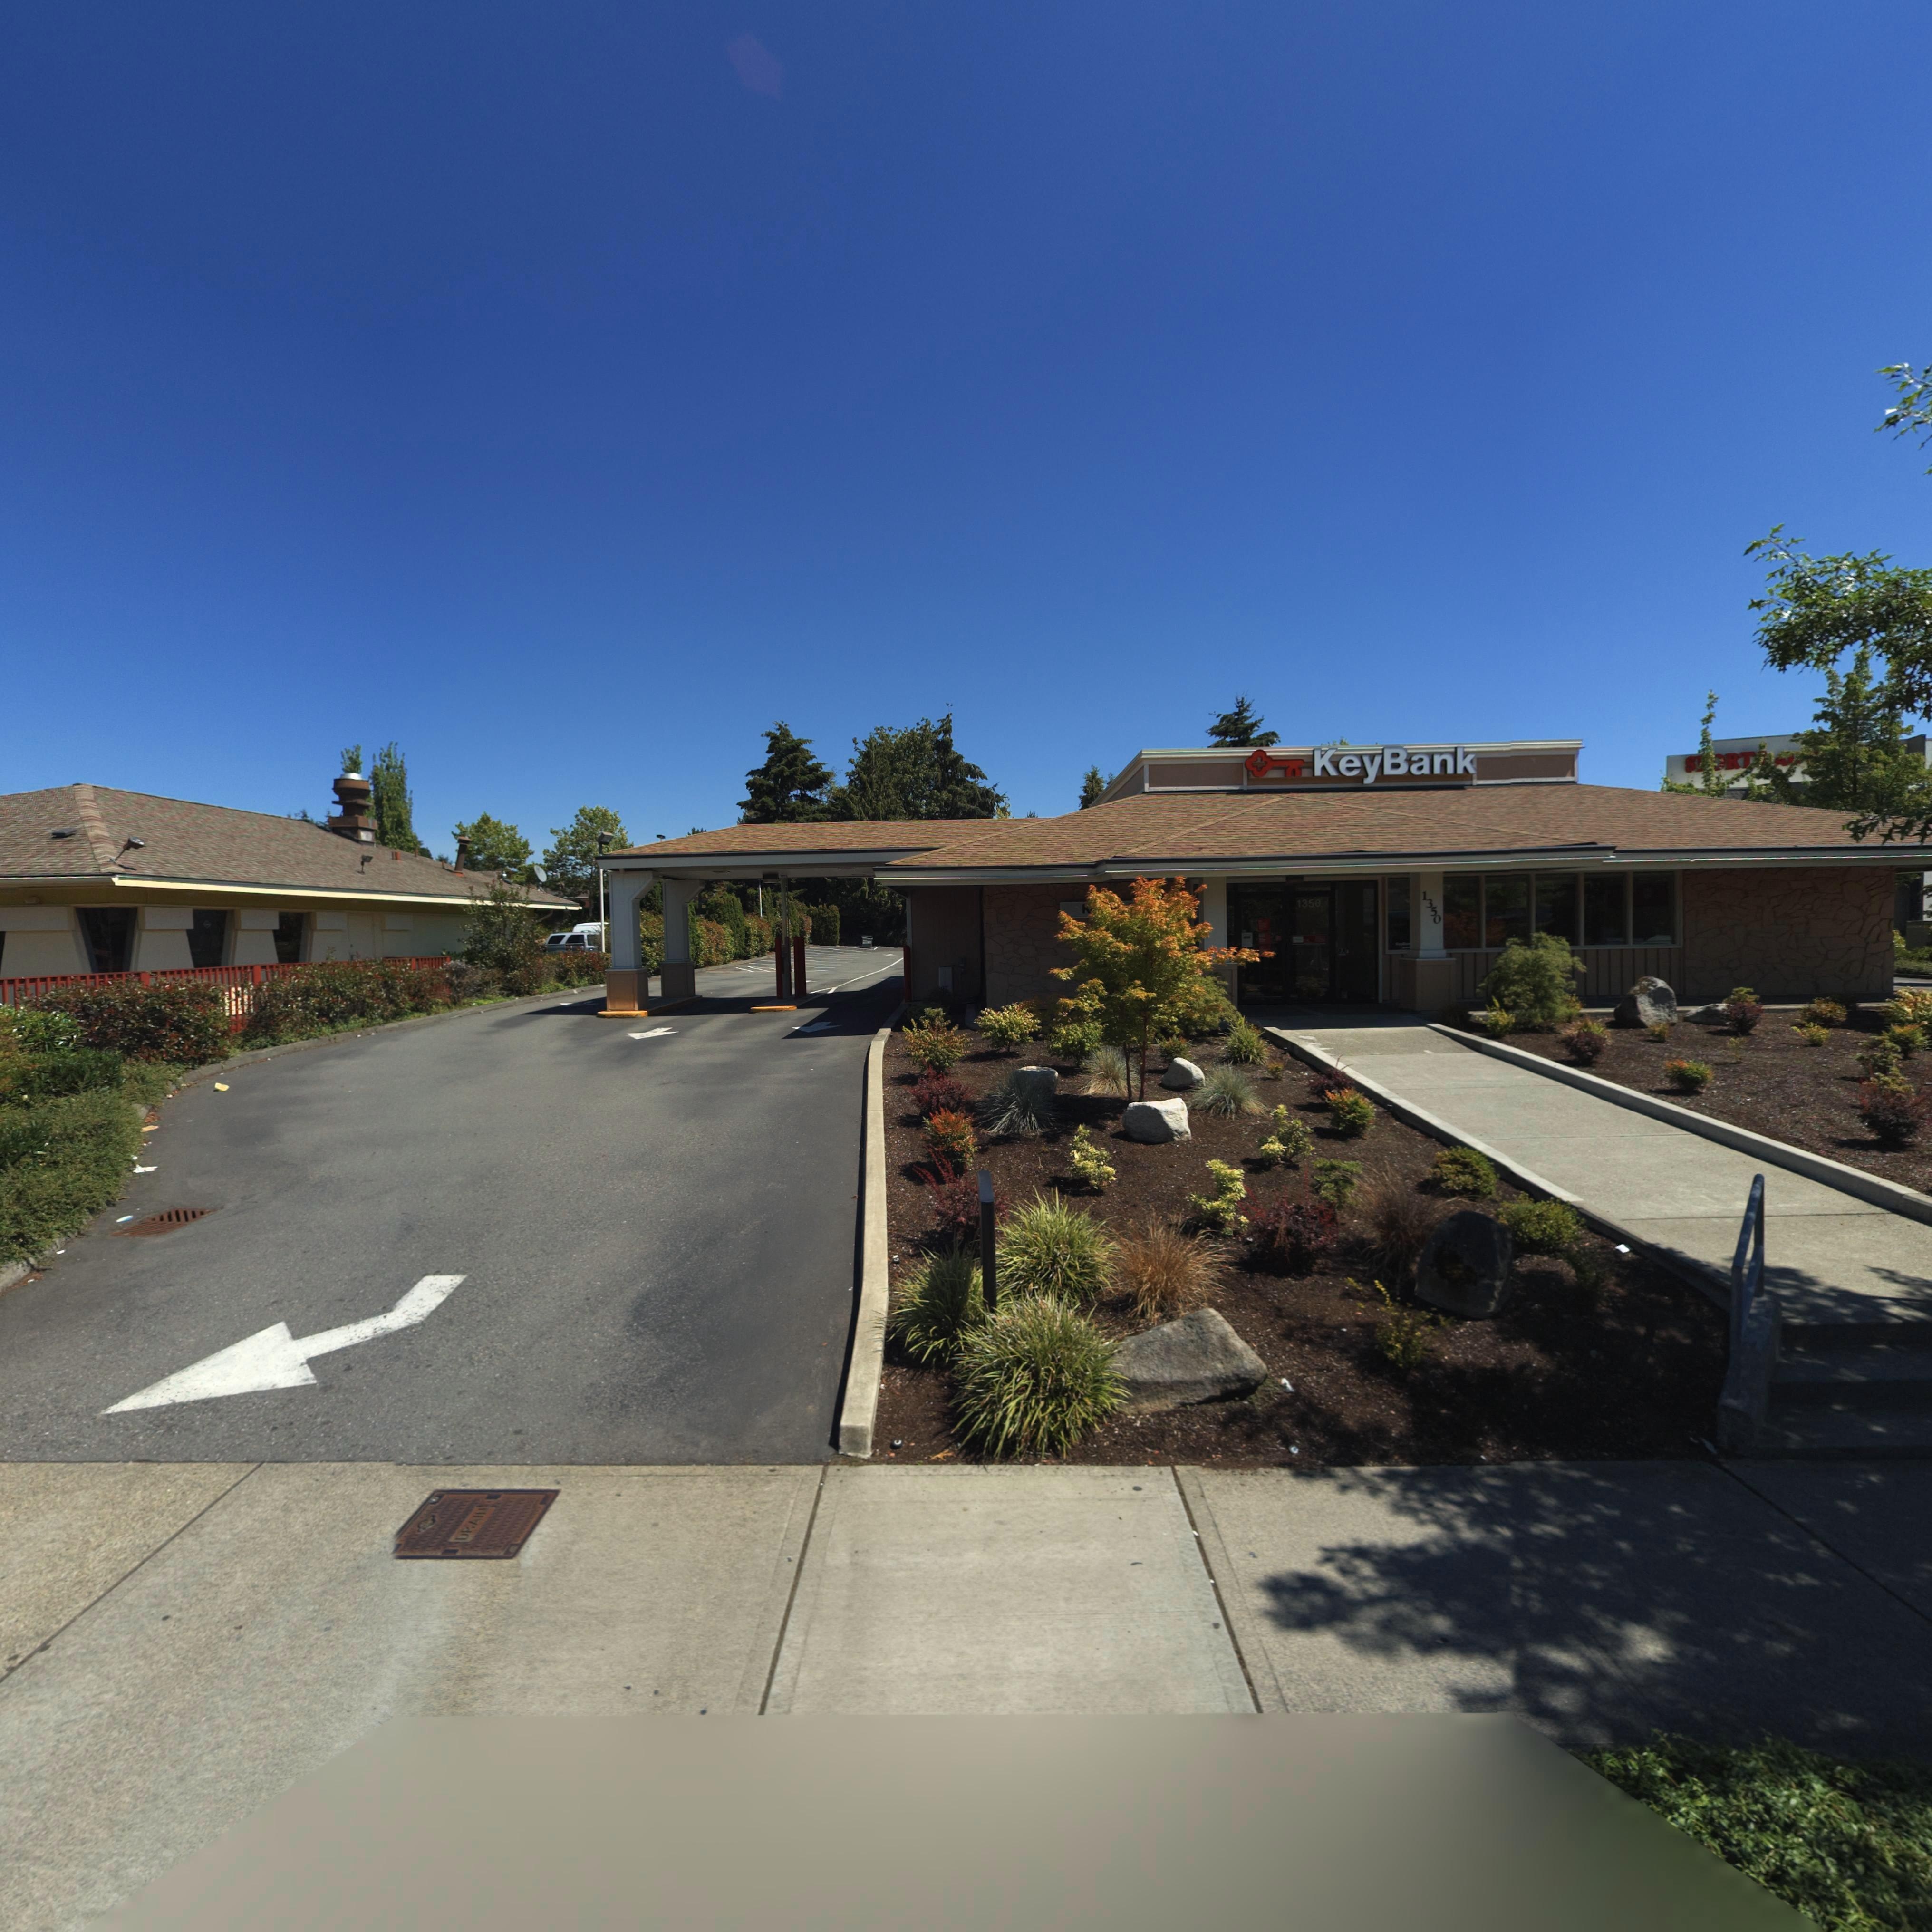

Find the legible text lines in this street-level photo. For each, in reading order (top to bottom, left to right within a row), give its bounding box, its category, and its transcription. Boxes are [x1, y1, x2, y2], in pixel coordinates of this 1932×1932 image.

[1311, 744, 1478, 787] BusinessName: KeyBank
[1296, 898, 1321, 908] StreetNumber: 1350
[1420, 889, 1444, 926] StreetNumber: 1350